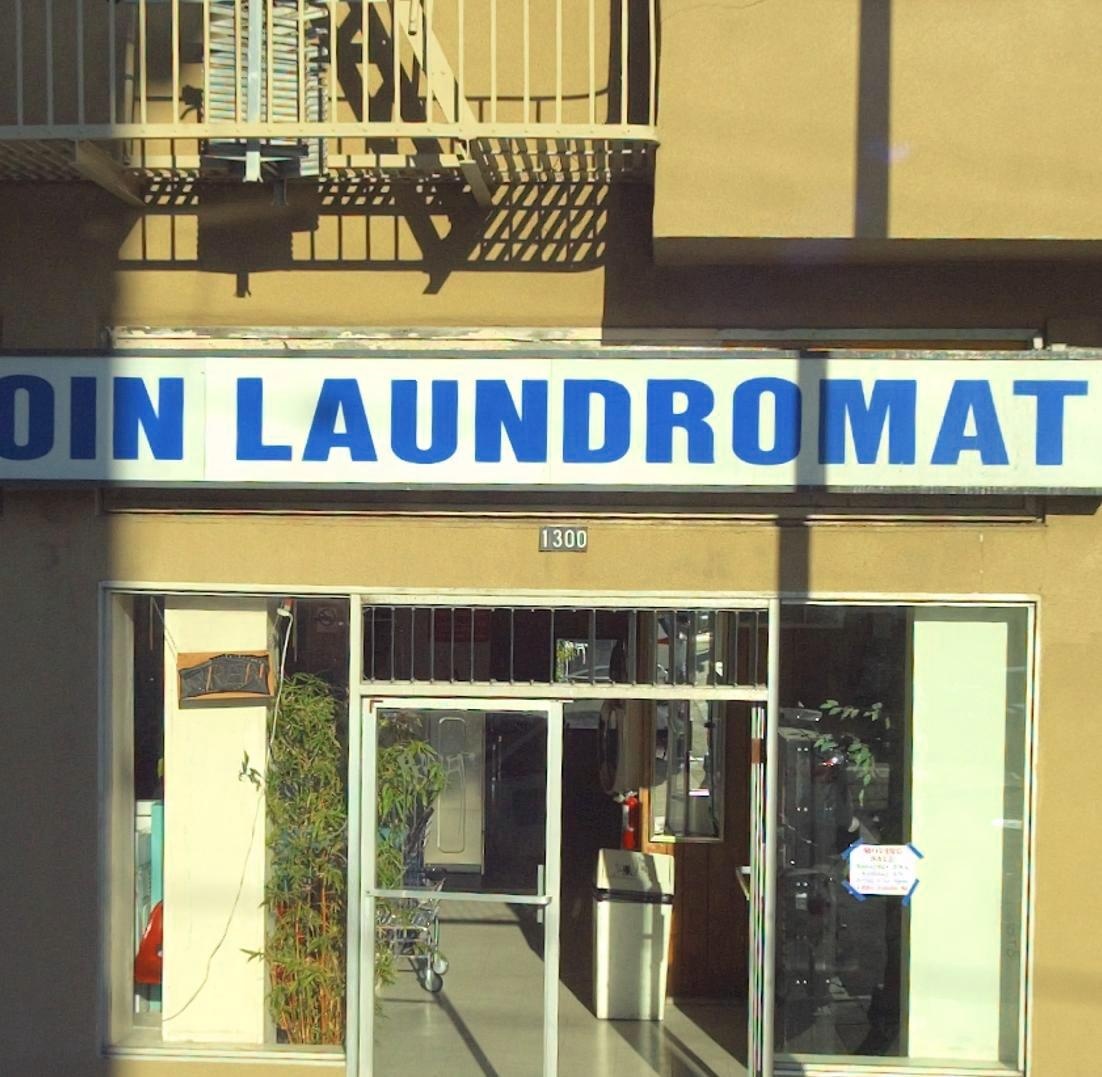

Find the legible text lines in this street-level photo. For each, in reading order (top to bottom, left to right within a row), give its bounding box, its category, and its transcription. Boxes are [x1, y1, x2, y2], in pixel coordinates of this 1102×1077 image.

[0, 367, 1094, 471] BusinessName: OIN LAUNDROMAT
[541, 528, 588, 549] StreetNumber: 1300